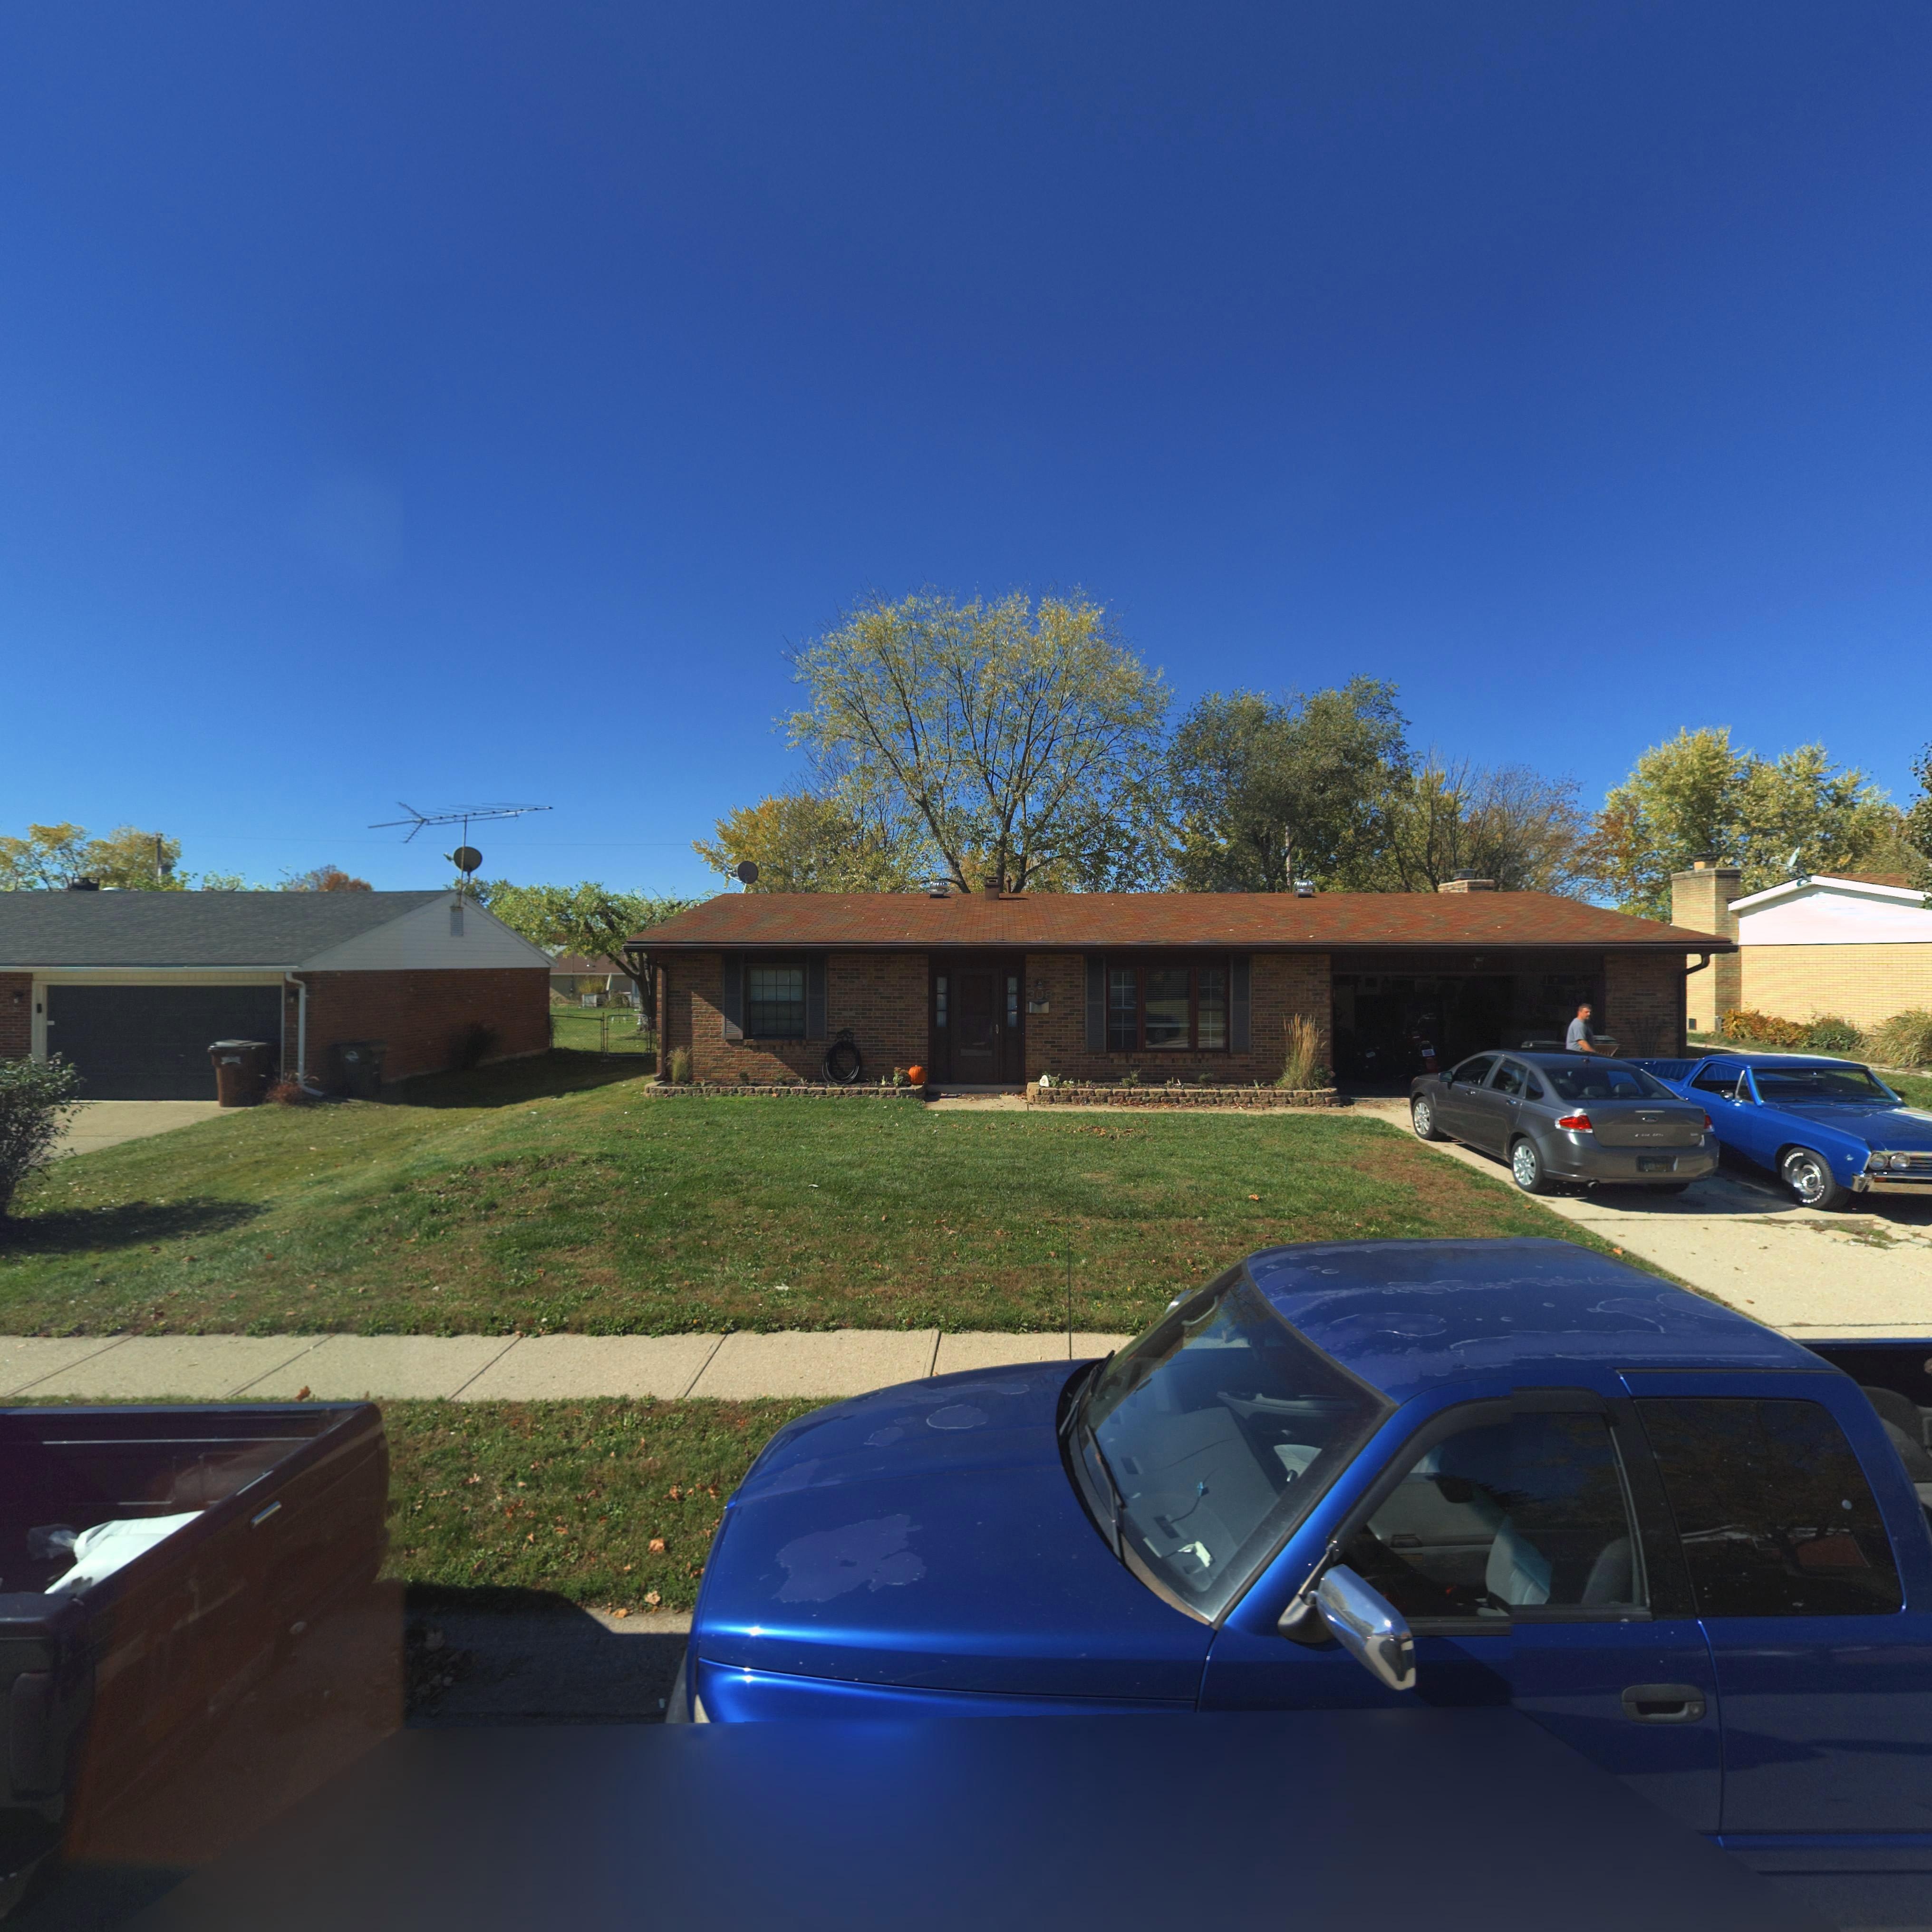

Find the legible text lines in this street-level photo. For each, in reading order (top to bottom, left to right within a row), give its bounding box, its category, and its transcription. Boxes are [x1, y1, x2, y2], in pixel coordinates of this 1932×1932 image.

[1027, 989, 1053, 999] StreetNumber: 308